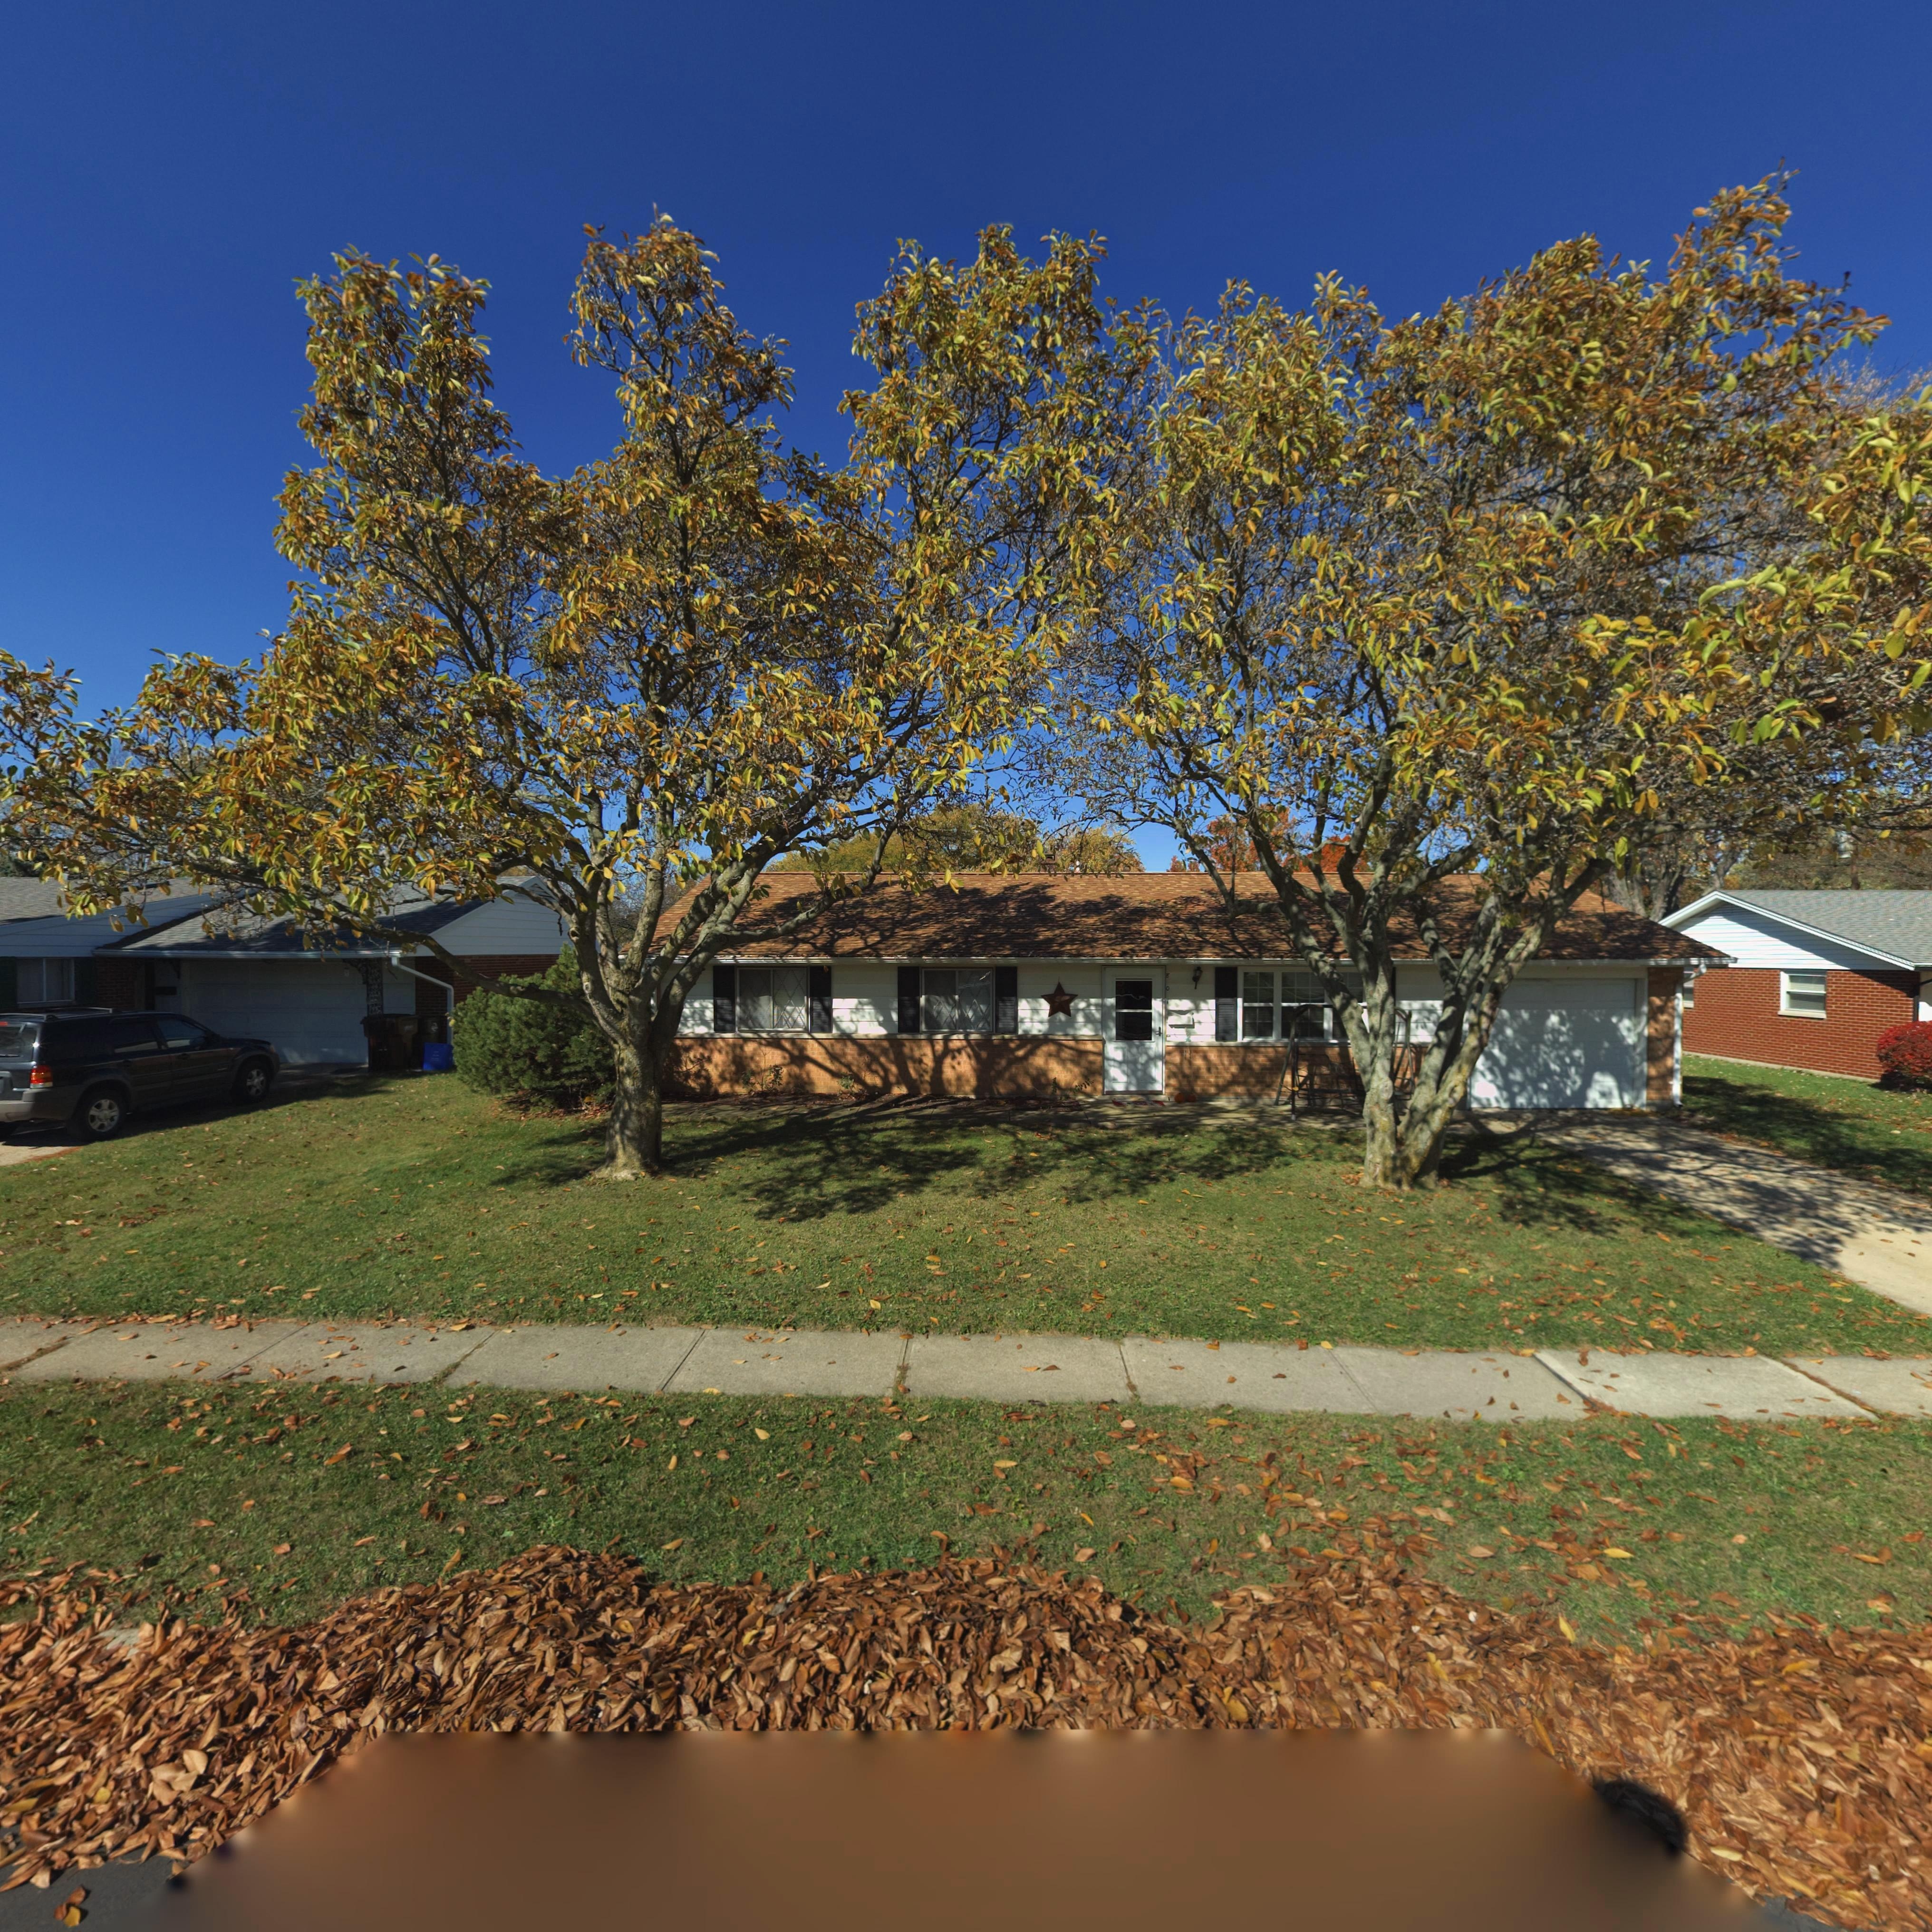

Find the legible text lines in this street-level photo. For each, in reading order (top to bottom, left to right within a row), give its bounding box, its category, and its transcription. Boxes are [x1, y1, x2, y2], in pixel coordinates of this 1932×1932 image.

[1165, 972, 1170, 1005] StreetNumber: 801